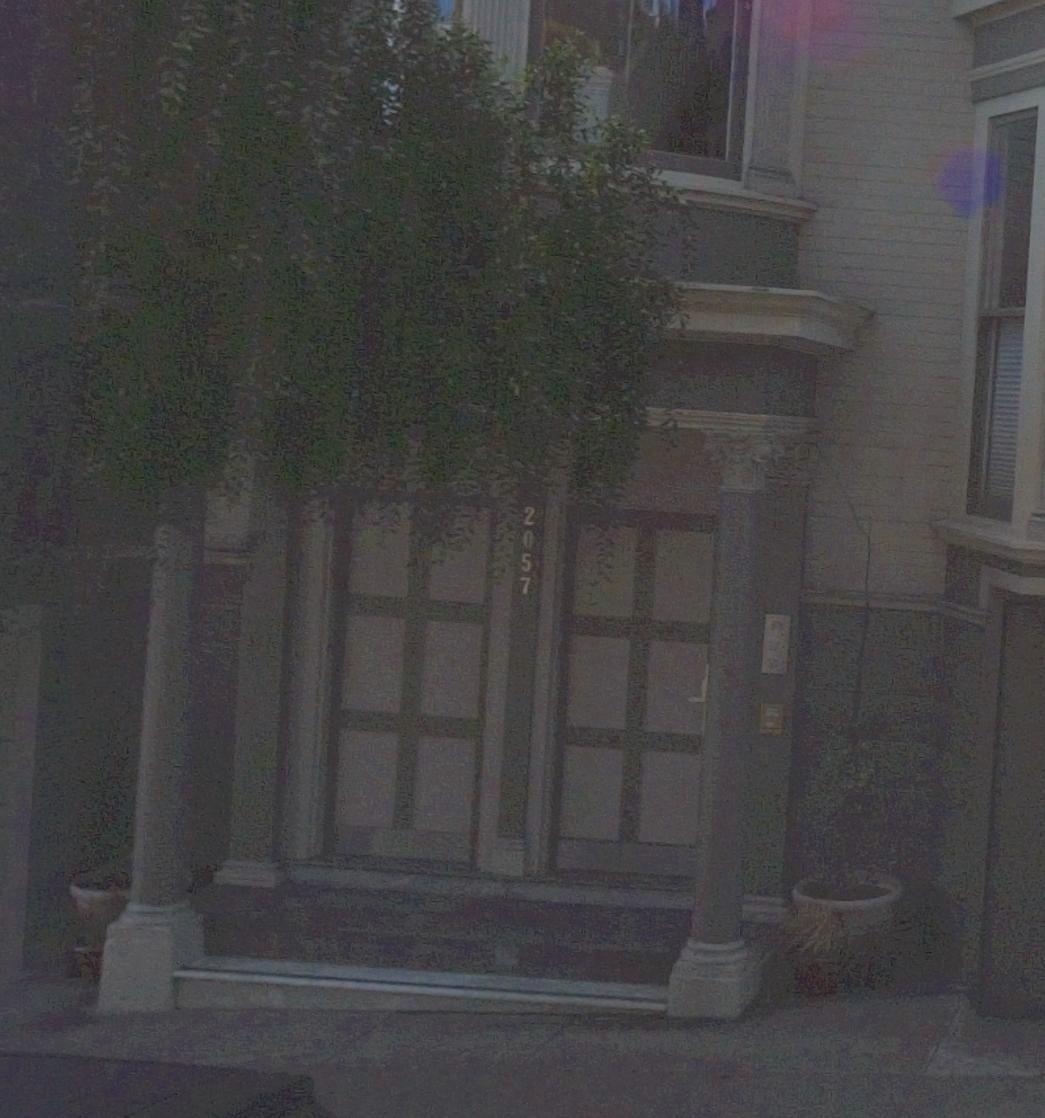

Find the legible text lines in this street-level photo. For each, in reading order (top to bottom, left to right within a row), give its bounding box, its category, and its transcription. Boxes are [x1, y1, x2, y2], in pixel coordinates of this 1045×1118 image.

[516, 503, 538, 597] StreetNumber: 2057